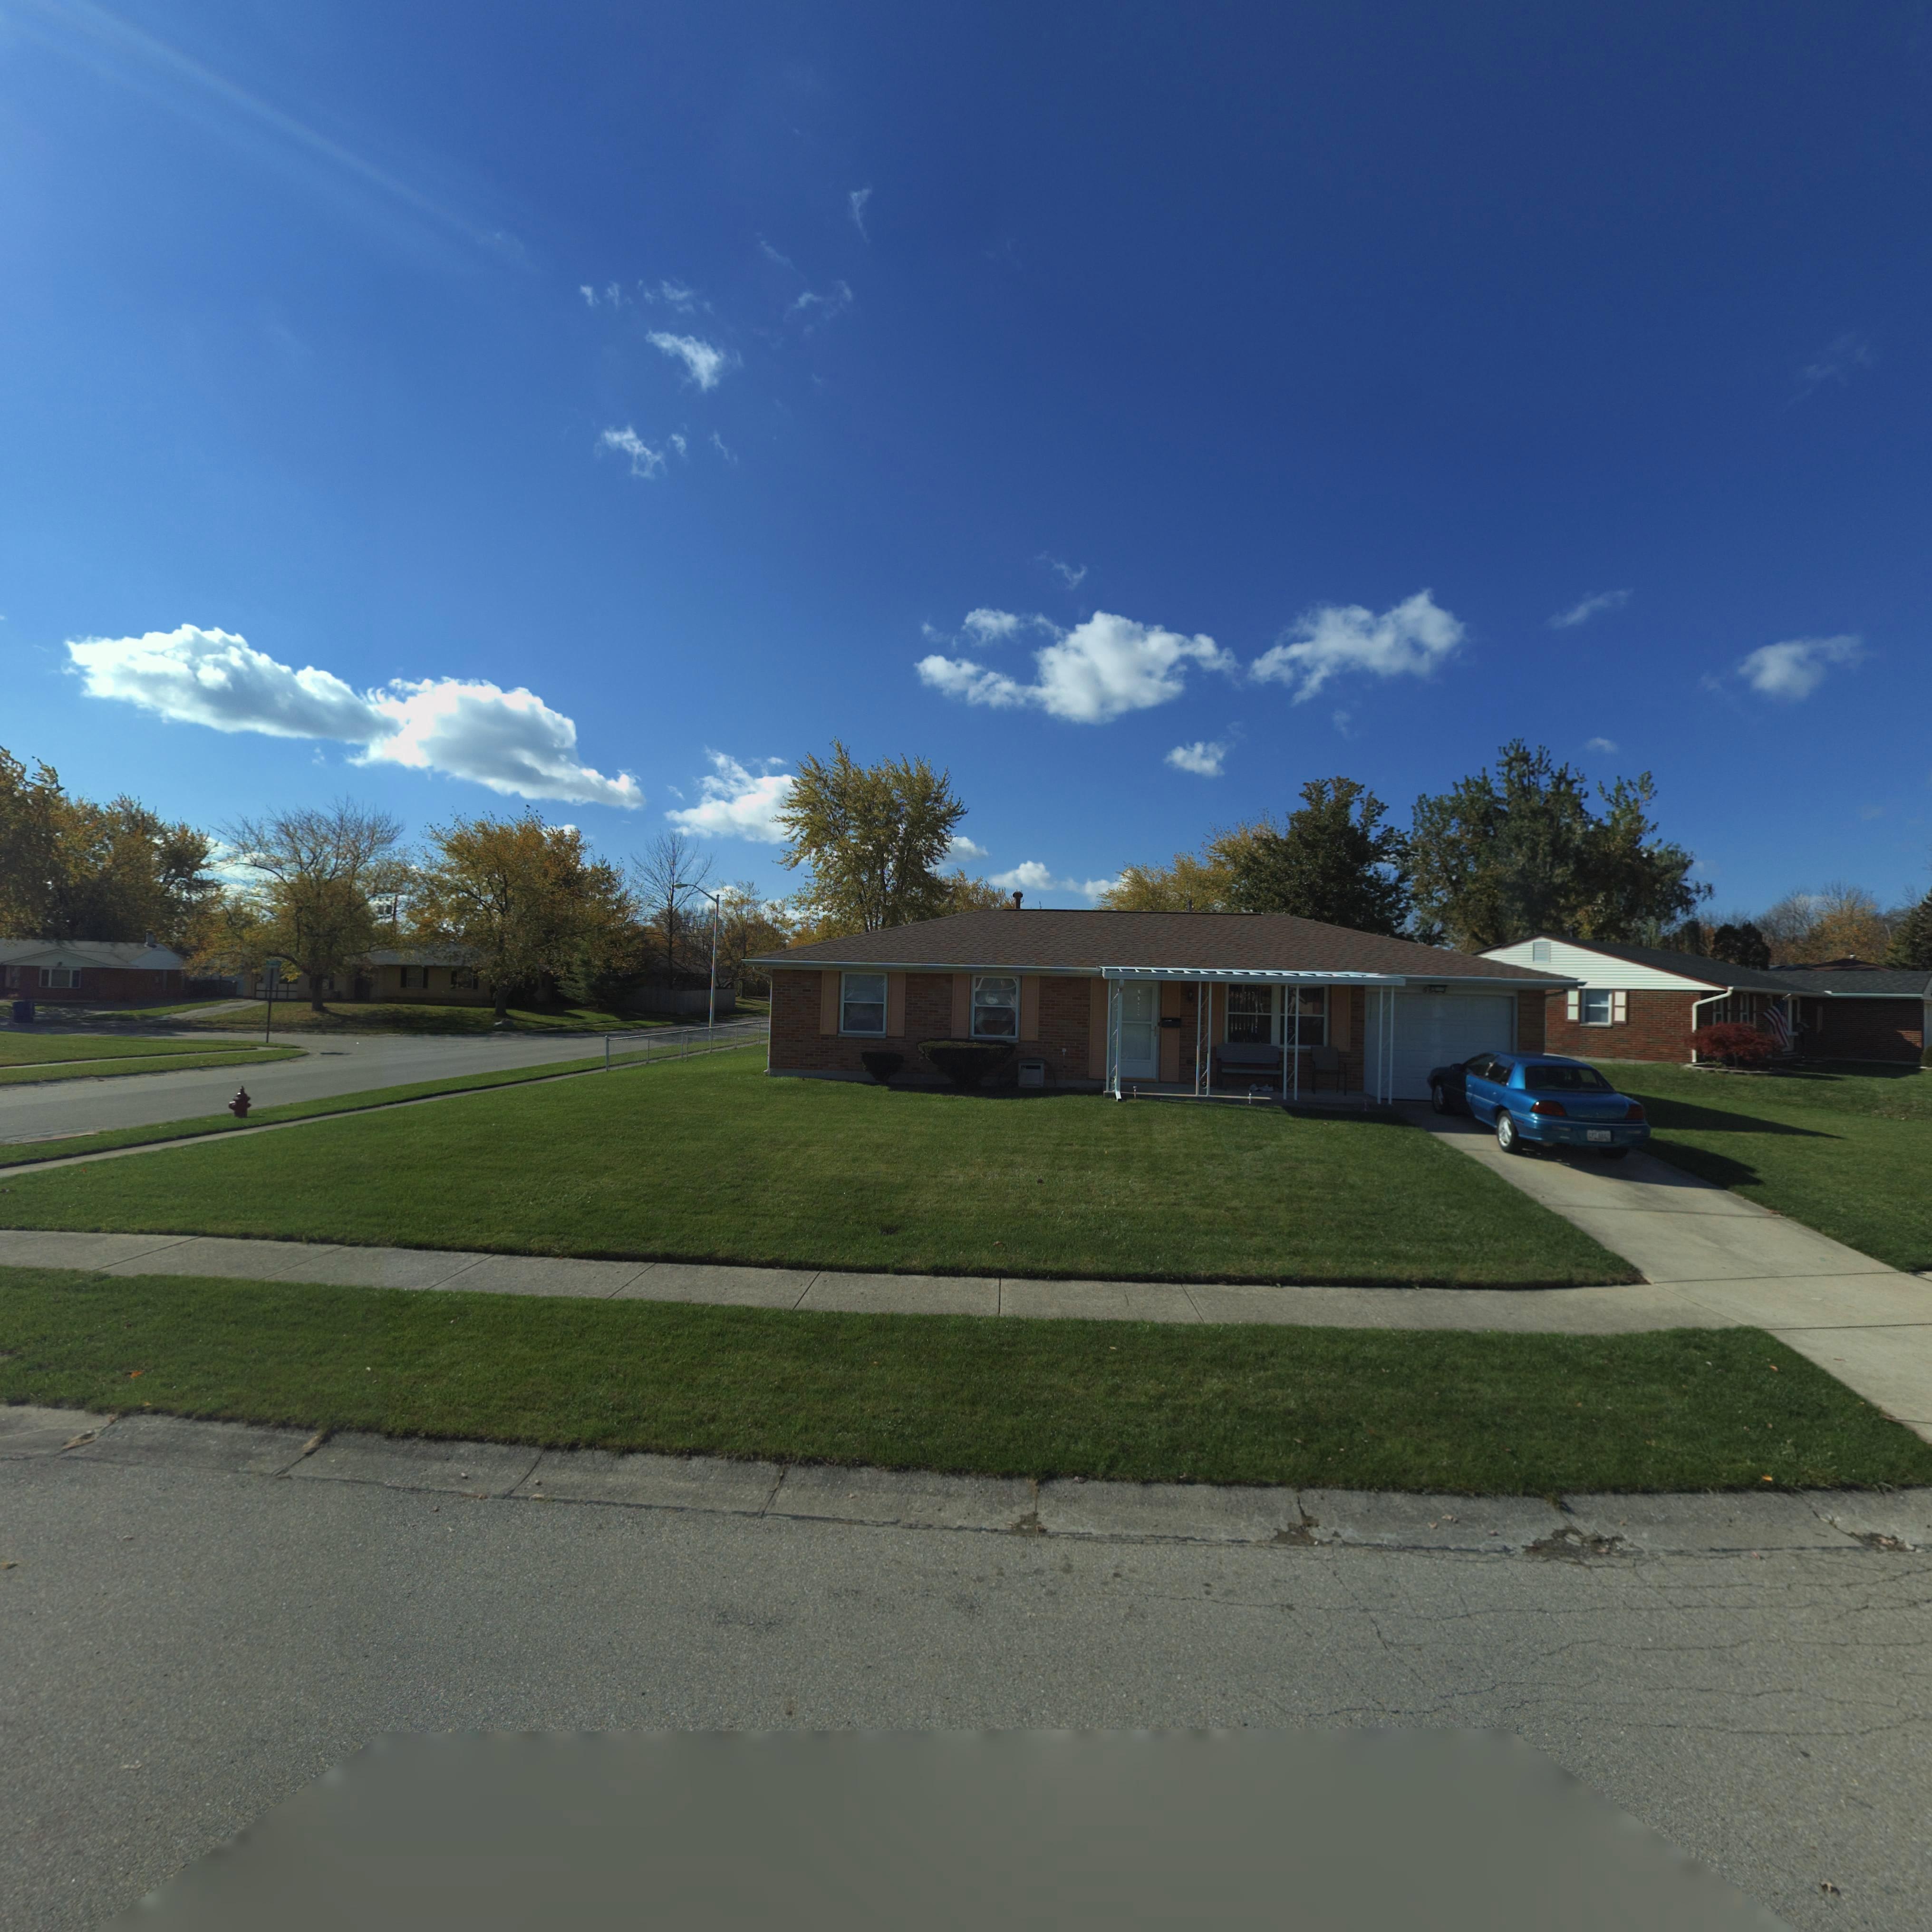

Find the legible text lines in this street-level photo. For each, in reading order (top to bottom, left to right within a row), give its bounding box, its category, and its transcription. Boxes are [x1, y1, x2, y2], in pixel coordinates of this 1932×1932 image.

[1421, 985, 1429, 995] StreetNumber: 6